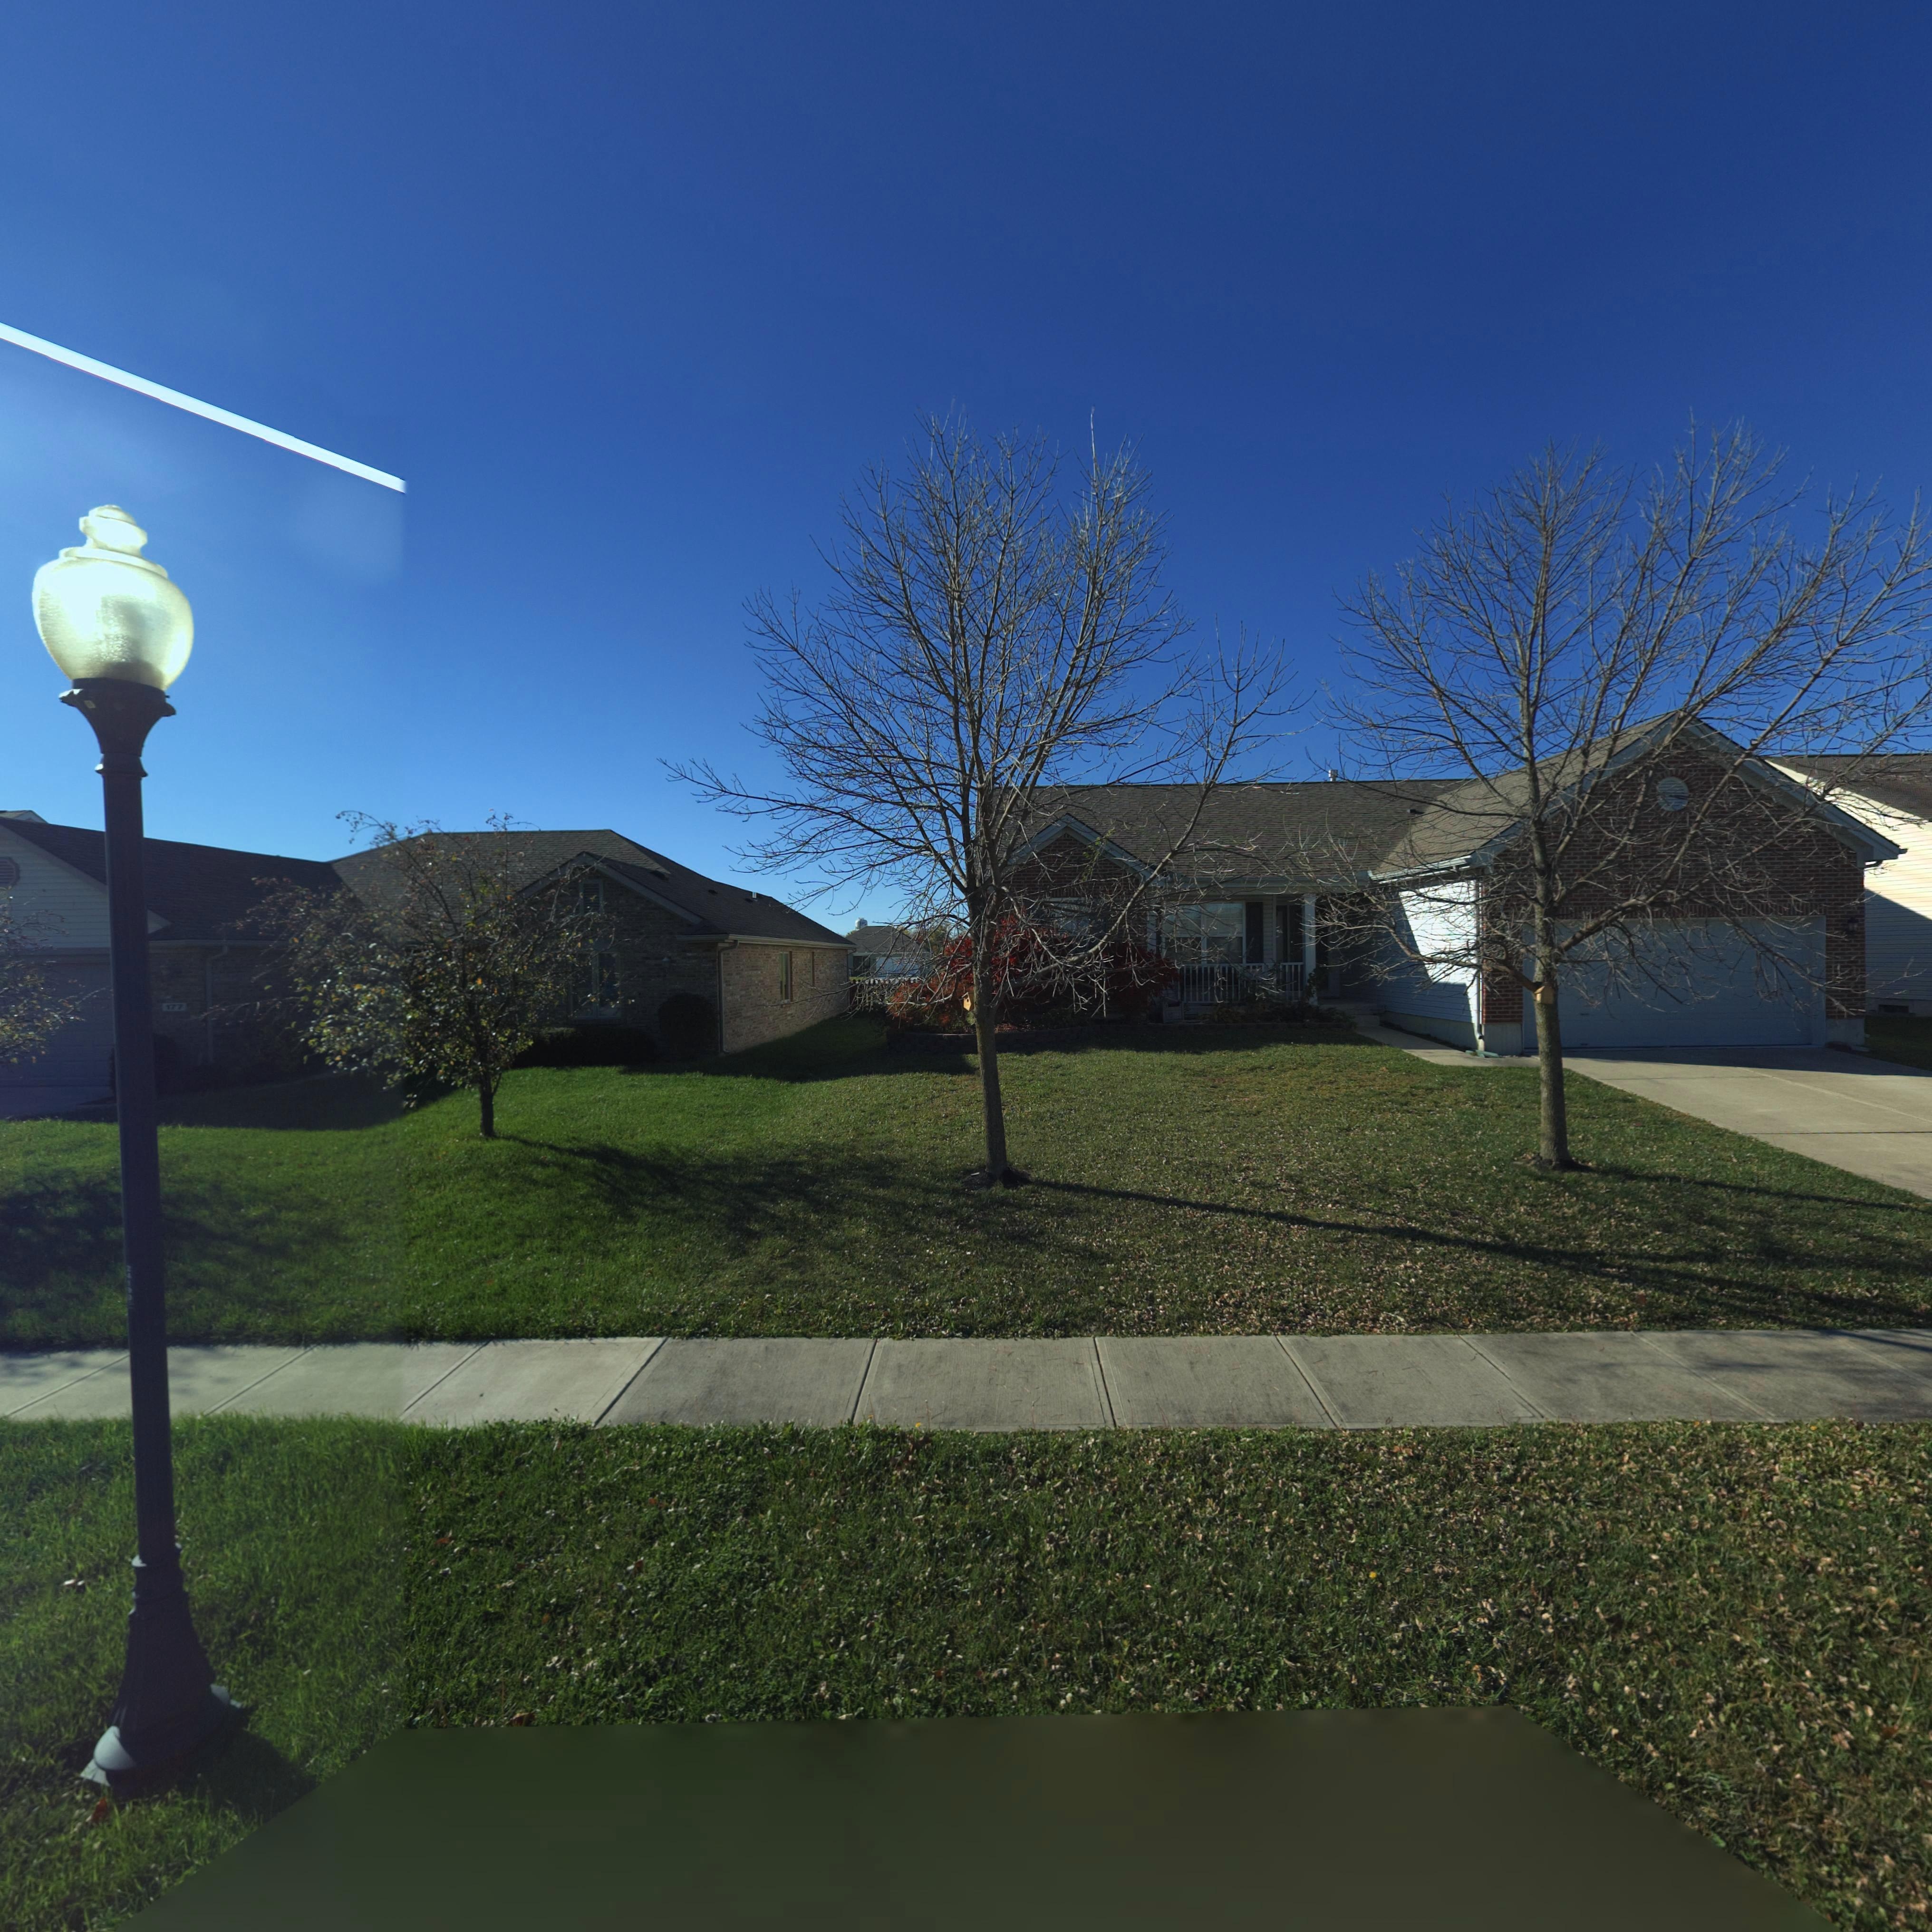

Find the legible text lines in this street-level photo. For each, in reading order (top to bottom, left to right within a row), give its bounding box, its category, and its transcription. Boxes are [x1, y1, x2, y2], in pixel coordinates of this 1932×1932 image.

[1308, 920, 1312, 942] StreetNumber: *79
[166, 1004, 183, 1010] StreetNumber: 177